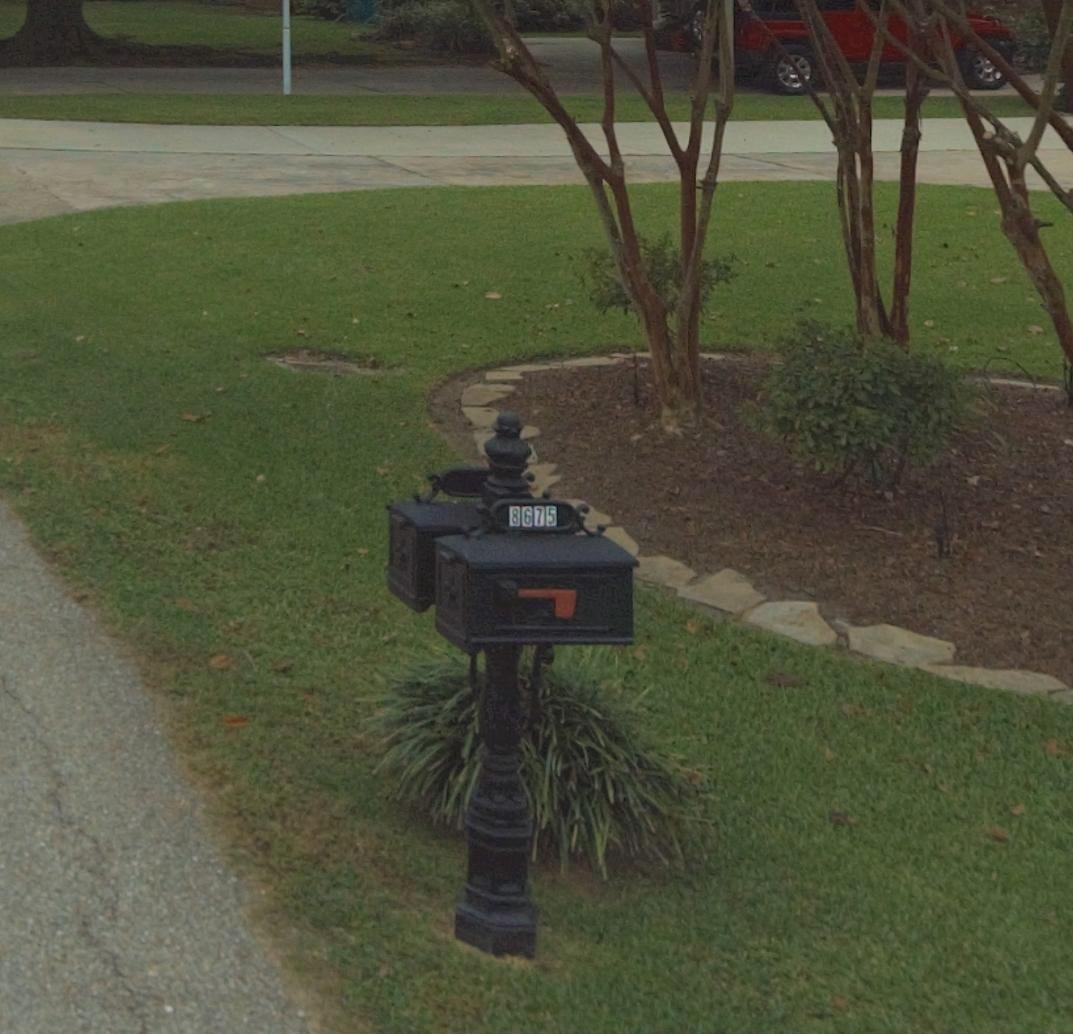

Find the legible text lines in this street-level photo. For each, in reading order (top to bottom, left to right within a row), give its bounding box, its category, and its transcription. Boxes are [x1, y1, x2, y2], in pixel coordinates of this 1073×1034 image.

[510, 507, 556, 526] StreetNumber: 8675